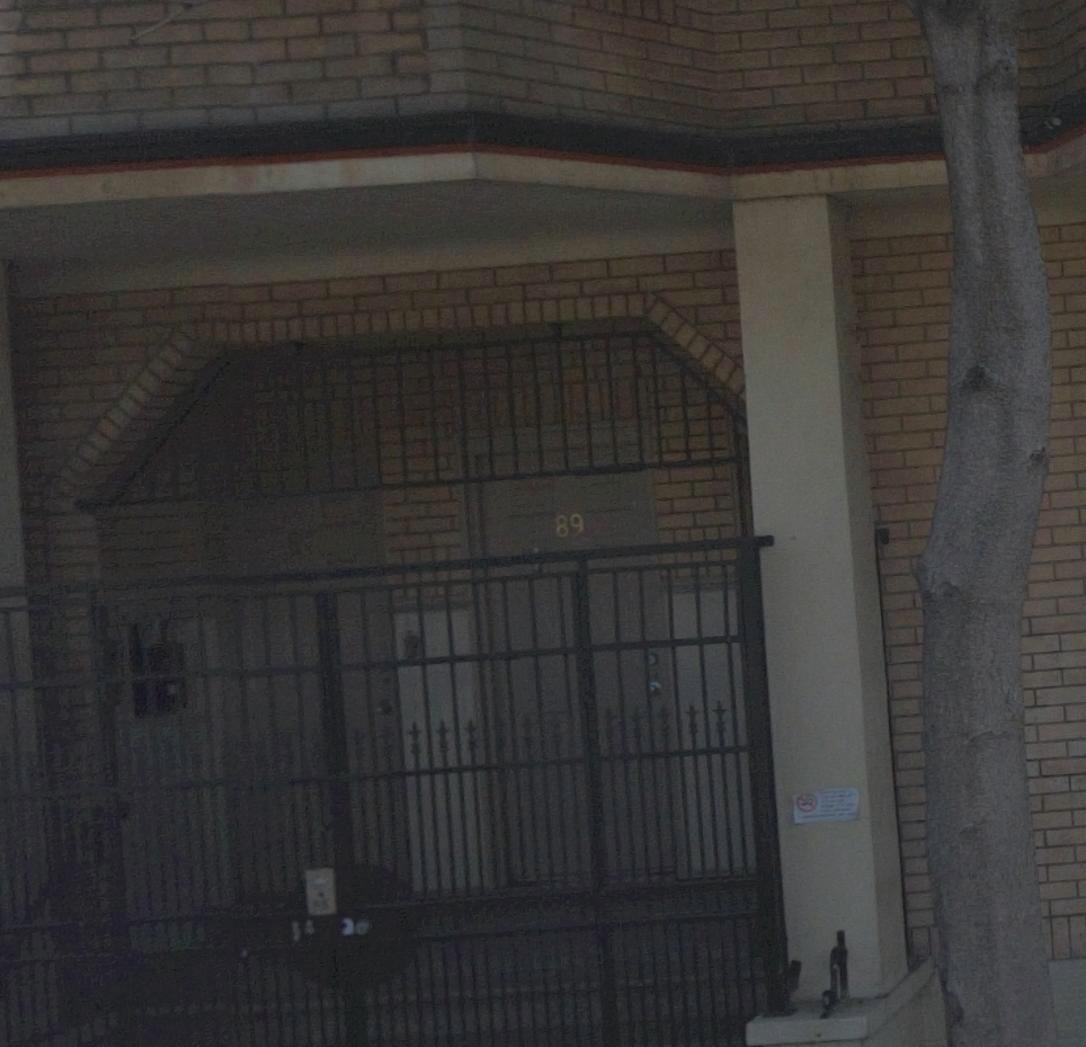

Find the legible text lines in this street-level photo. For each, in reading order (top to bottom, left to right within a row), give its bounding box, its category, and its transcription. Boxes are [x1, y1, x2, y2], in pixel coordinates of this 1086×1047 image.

[553, 510, 587, 541] StreetNumber: 89